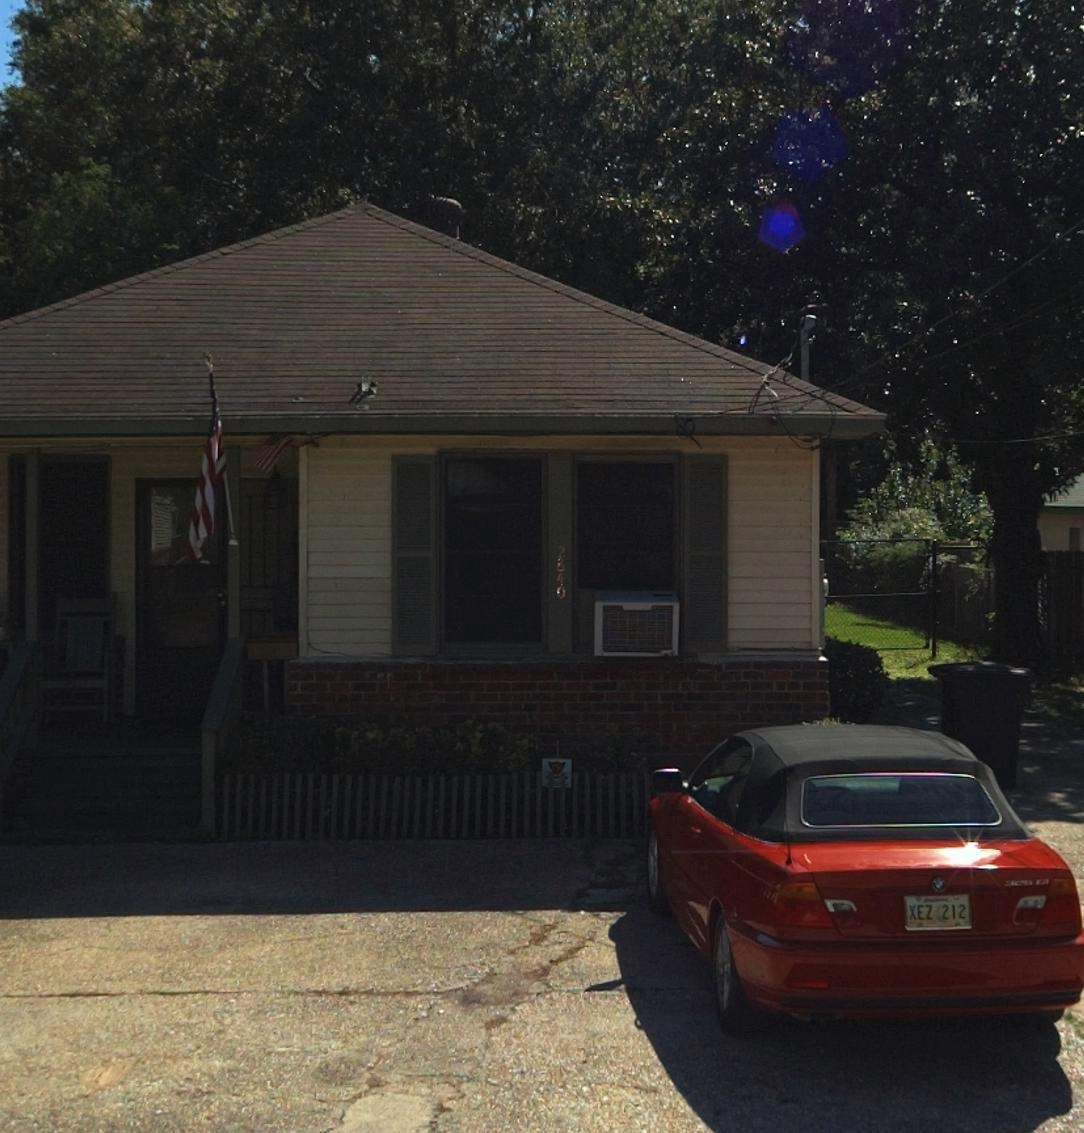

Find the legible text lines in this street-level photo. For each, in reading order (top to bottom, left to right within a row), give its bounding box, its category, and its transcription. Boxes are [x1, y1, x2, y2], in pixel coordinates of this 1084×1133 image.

[555, 541, 567, 602] StreetNumber: 2840
[907, 902, 967, 921] None: XEZ 212